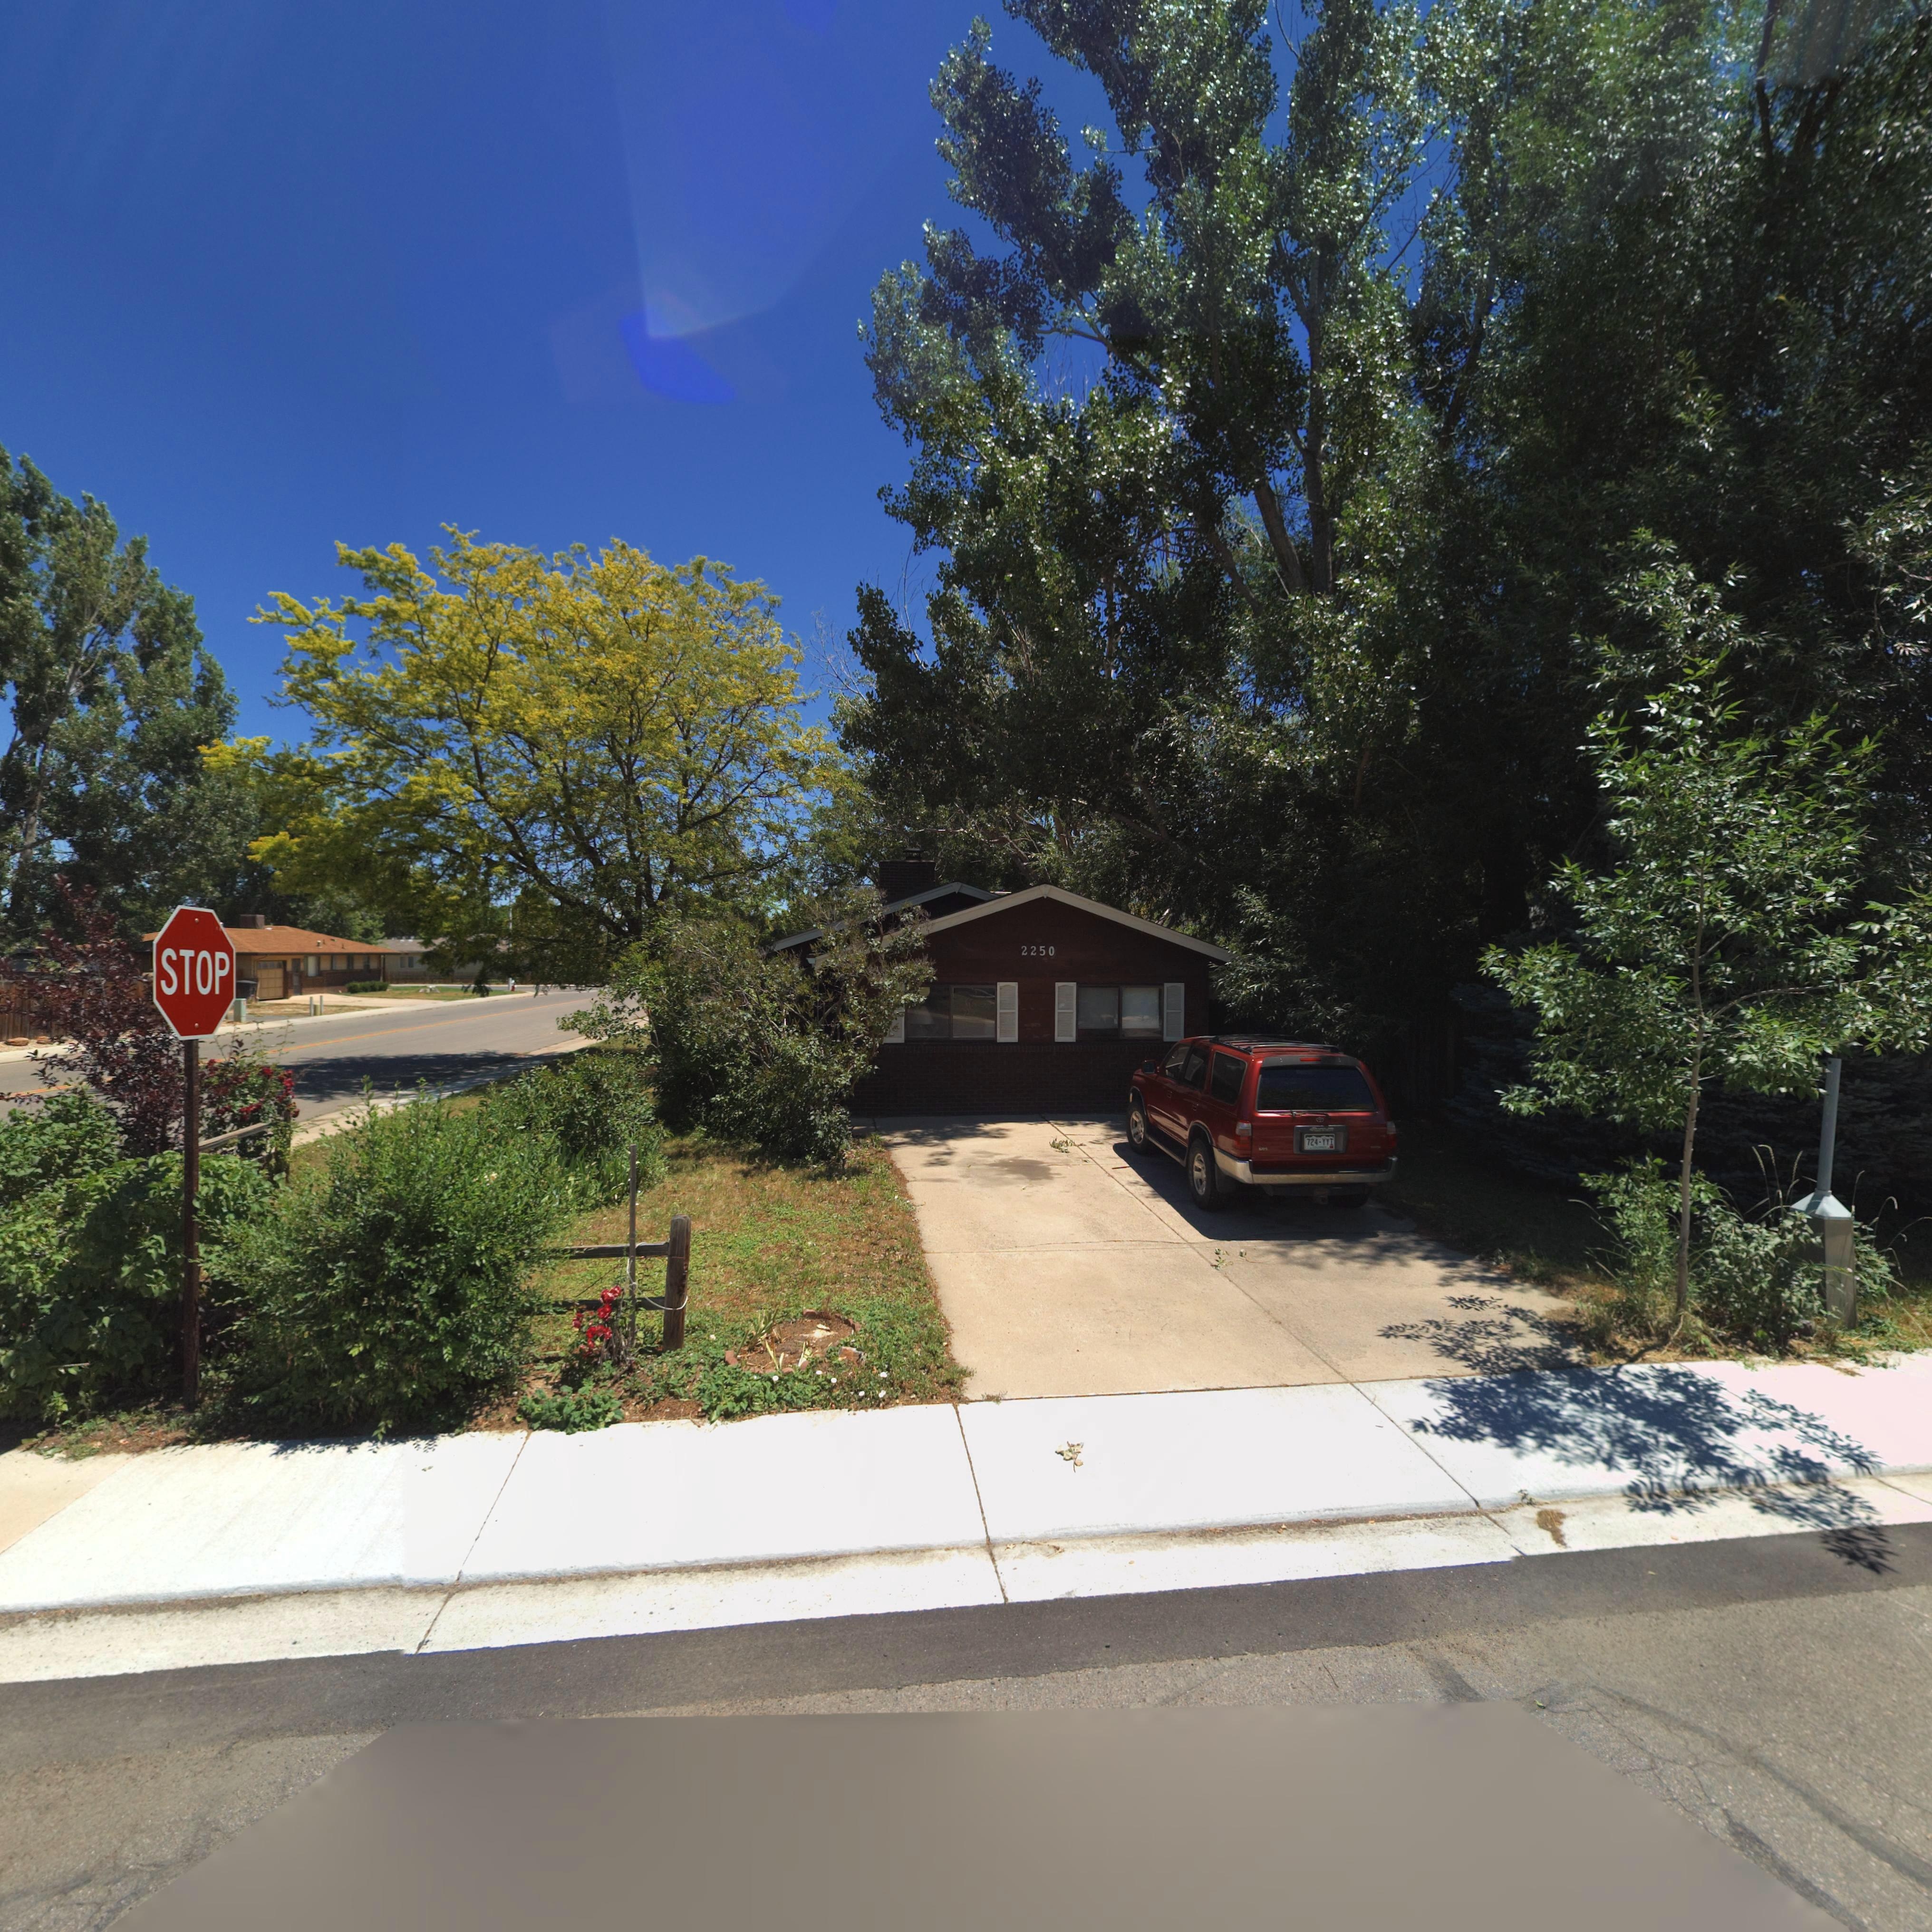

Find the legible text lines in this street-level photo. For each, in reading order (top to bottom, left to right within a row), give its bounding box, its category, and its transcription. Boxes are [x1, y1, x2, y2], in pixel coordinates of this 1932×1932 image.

[1021, 945, 1055, 956] StreetNumber: 2250